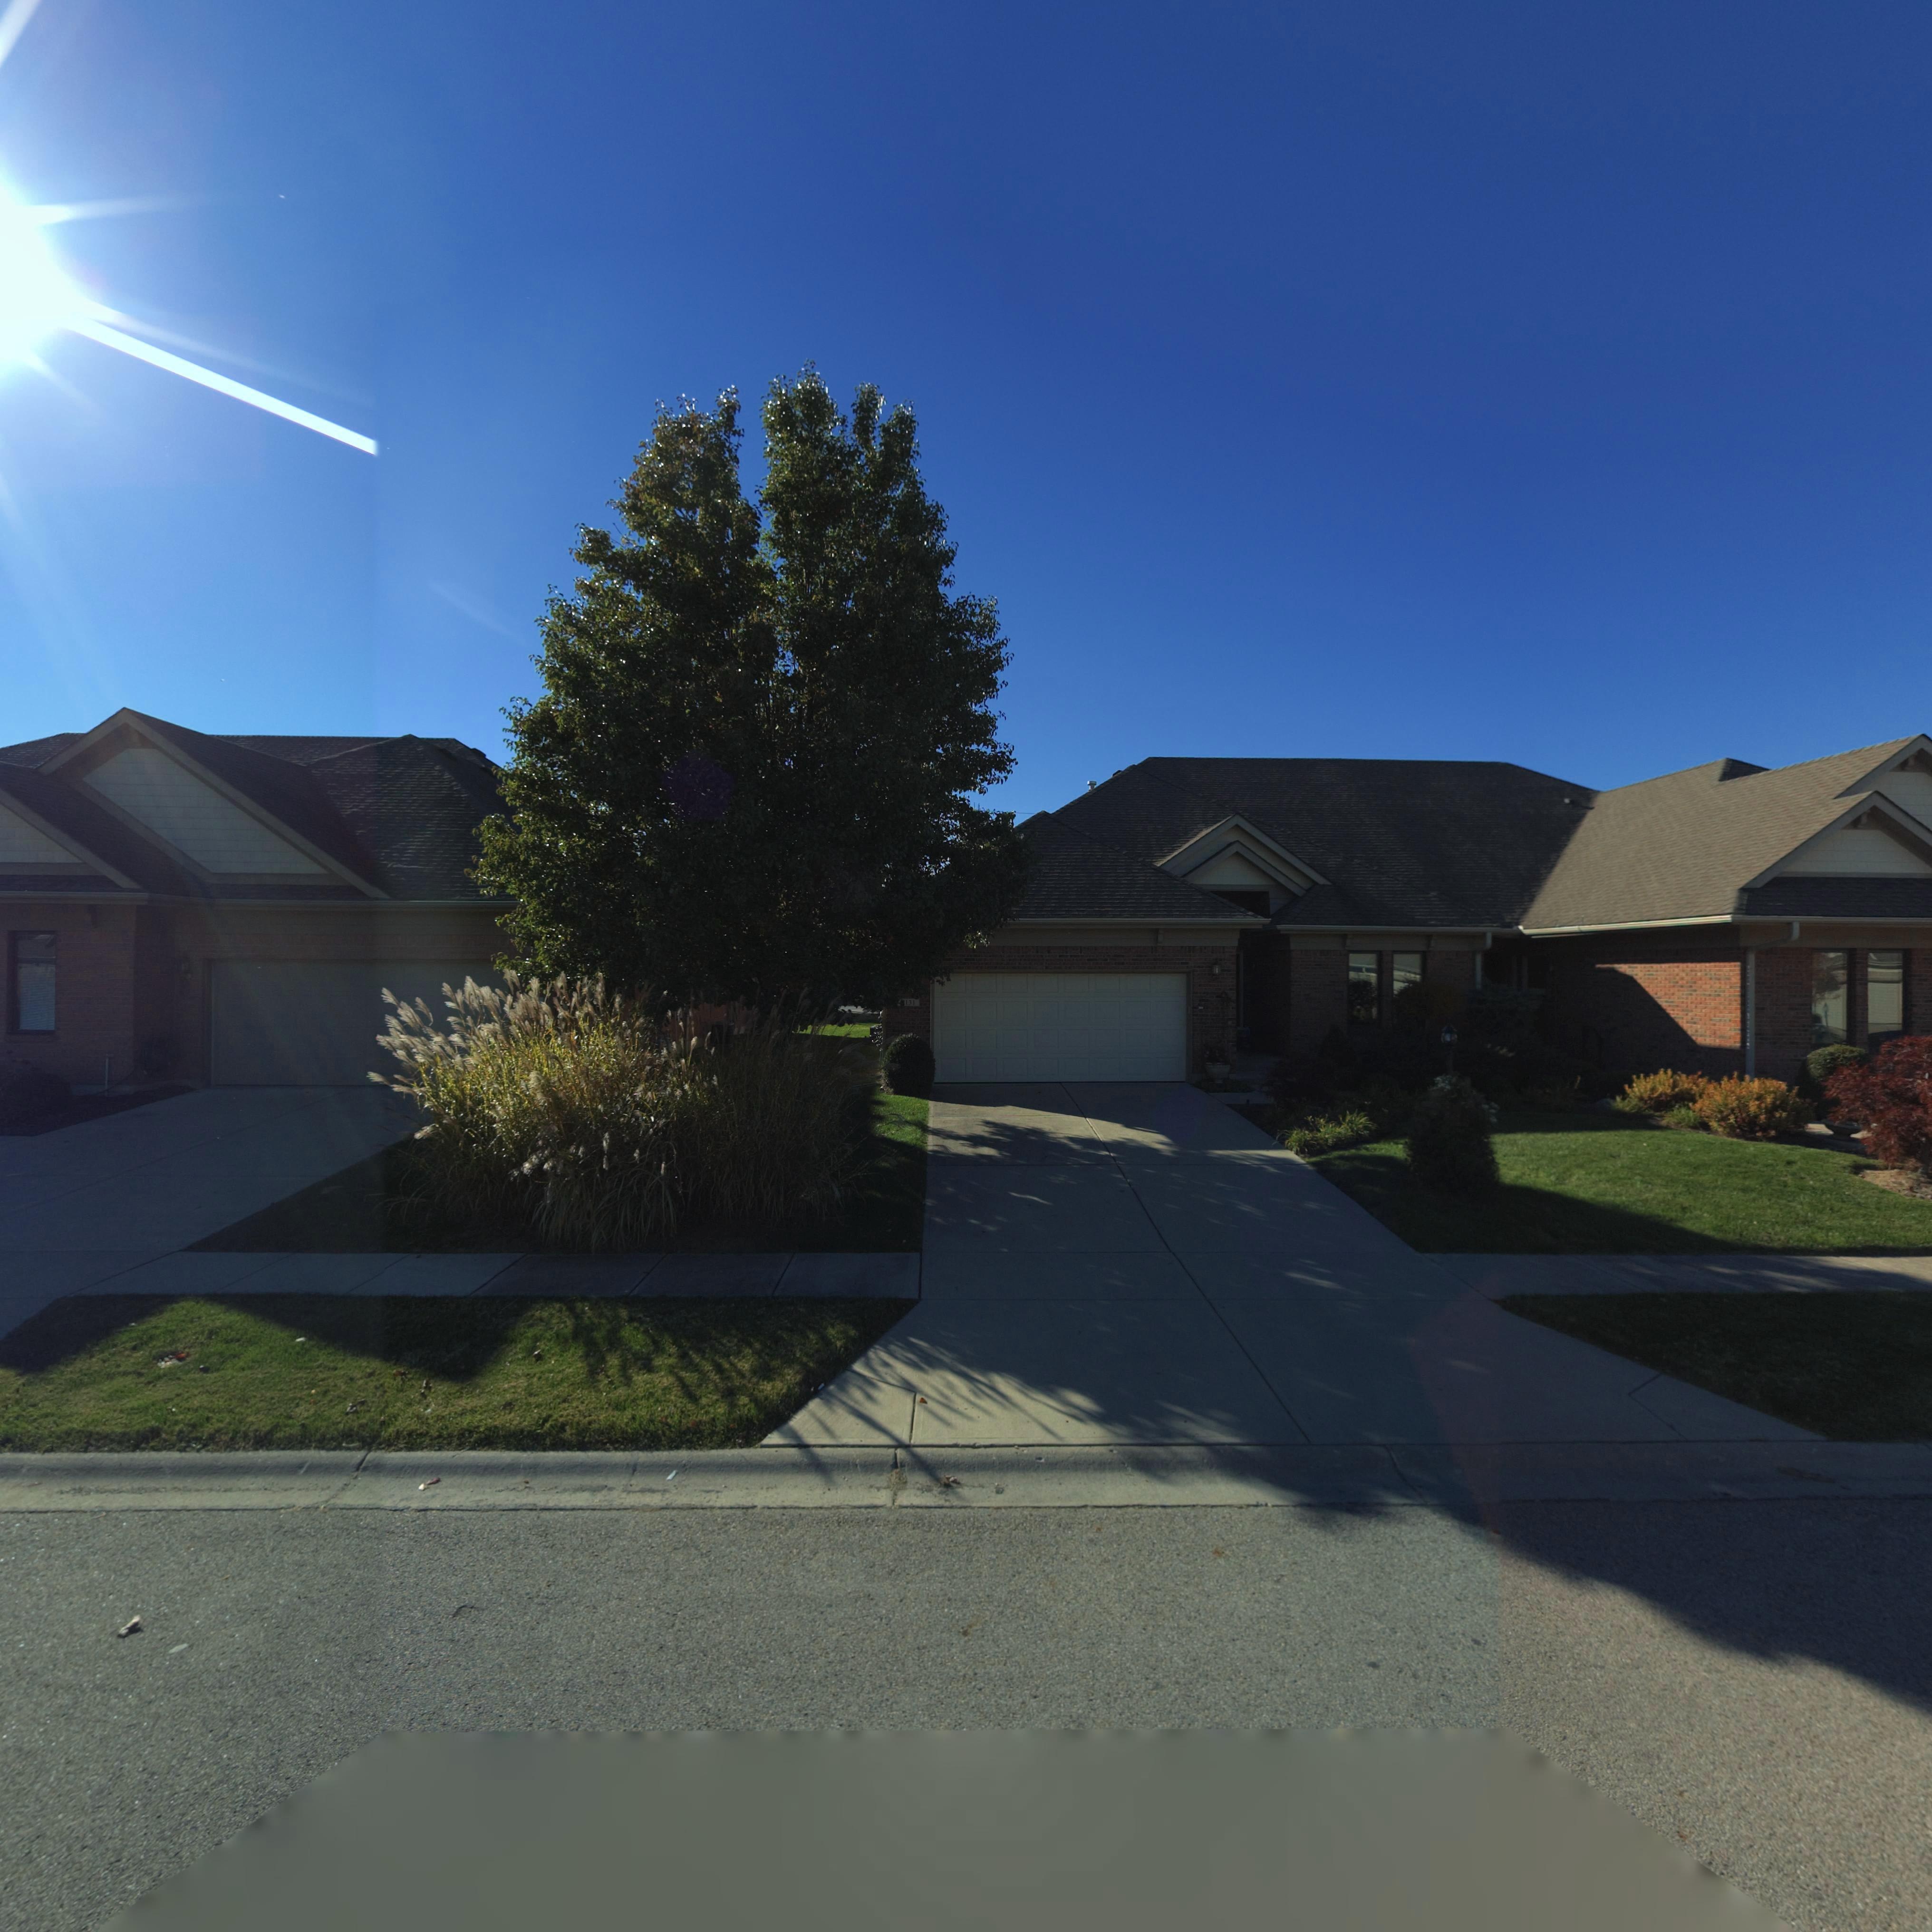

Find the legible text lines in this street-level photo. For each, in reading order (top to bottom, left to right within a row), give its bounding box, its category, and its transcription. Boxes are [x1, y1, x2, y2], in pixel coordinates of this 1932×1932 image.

[905, 999, 915, 1005] StreetNumber: 131